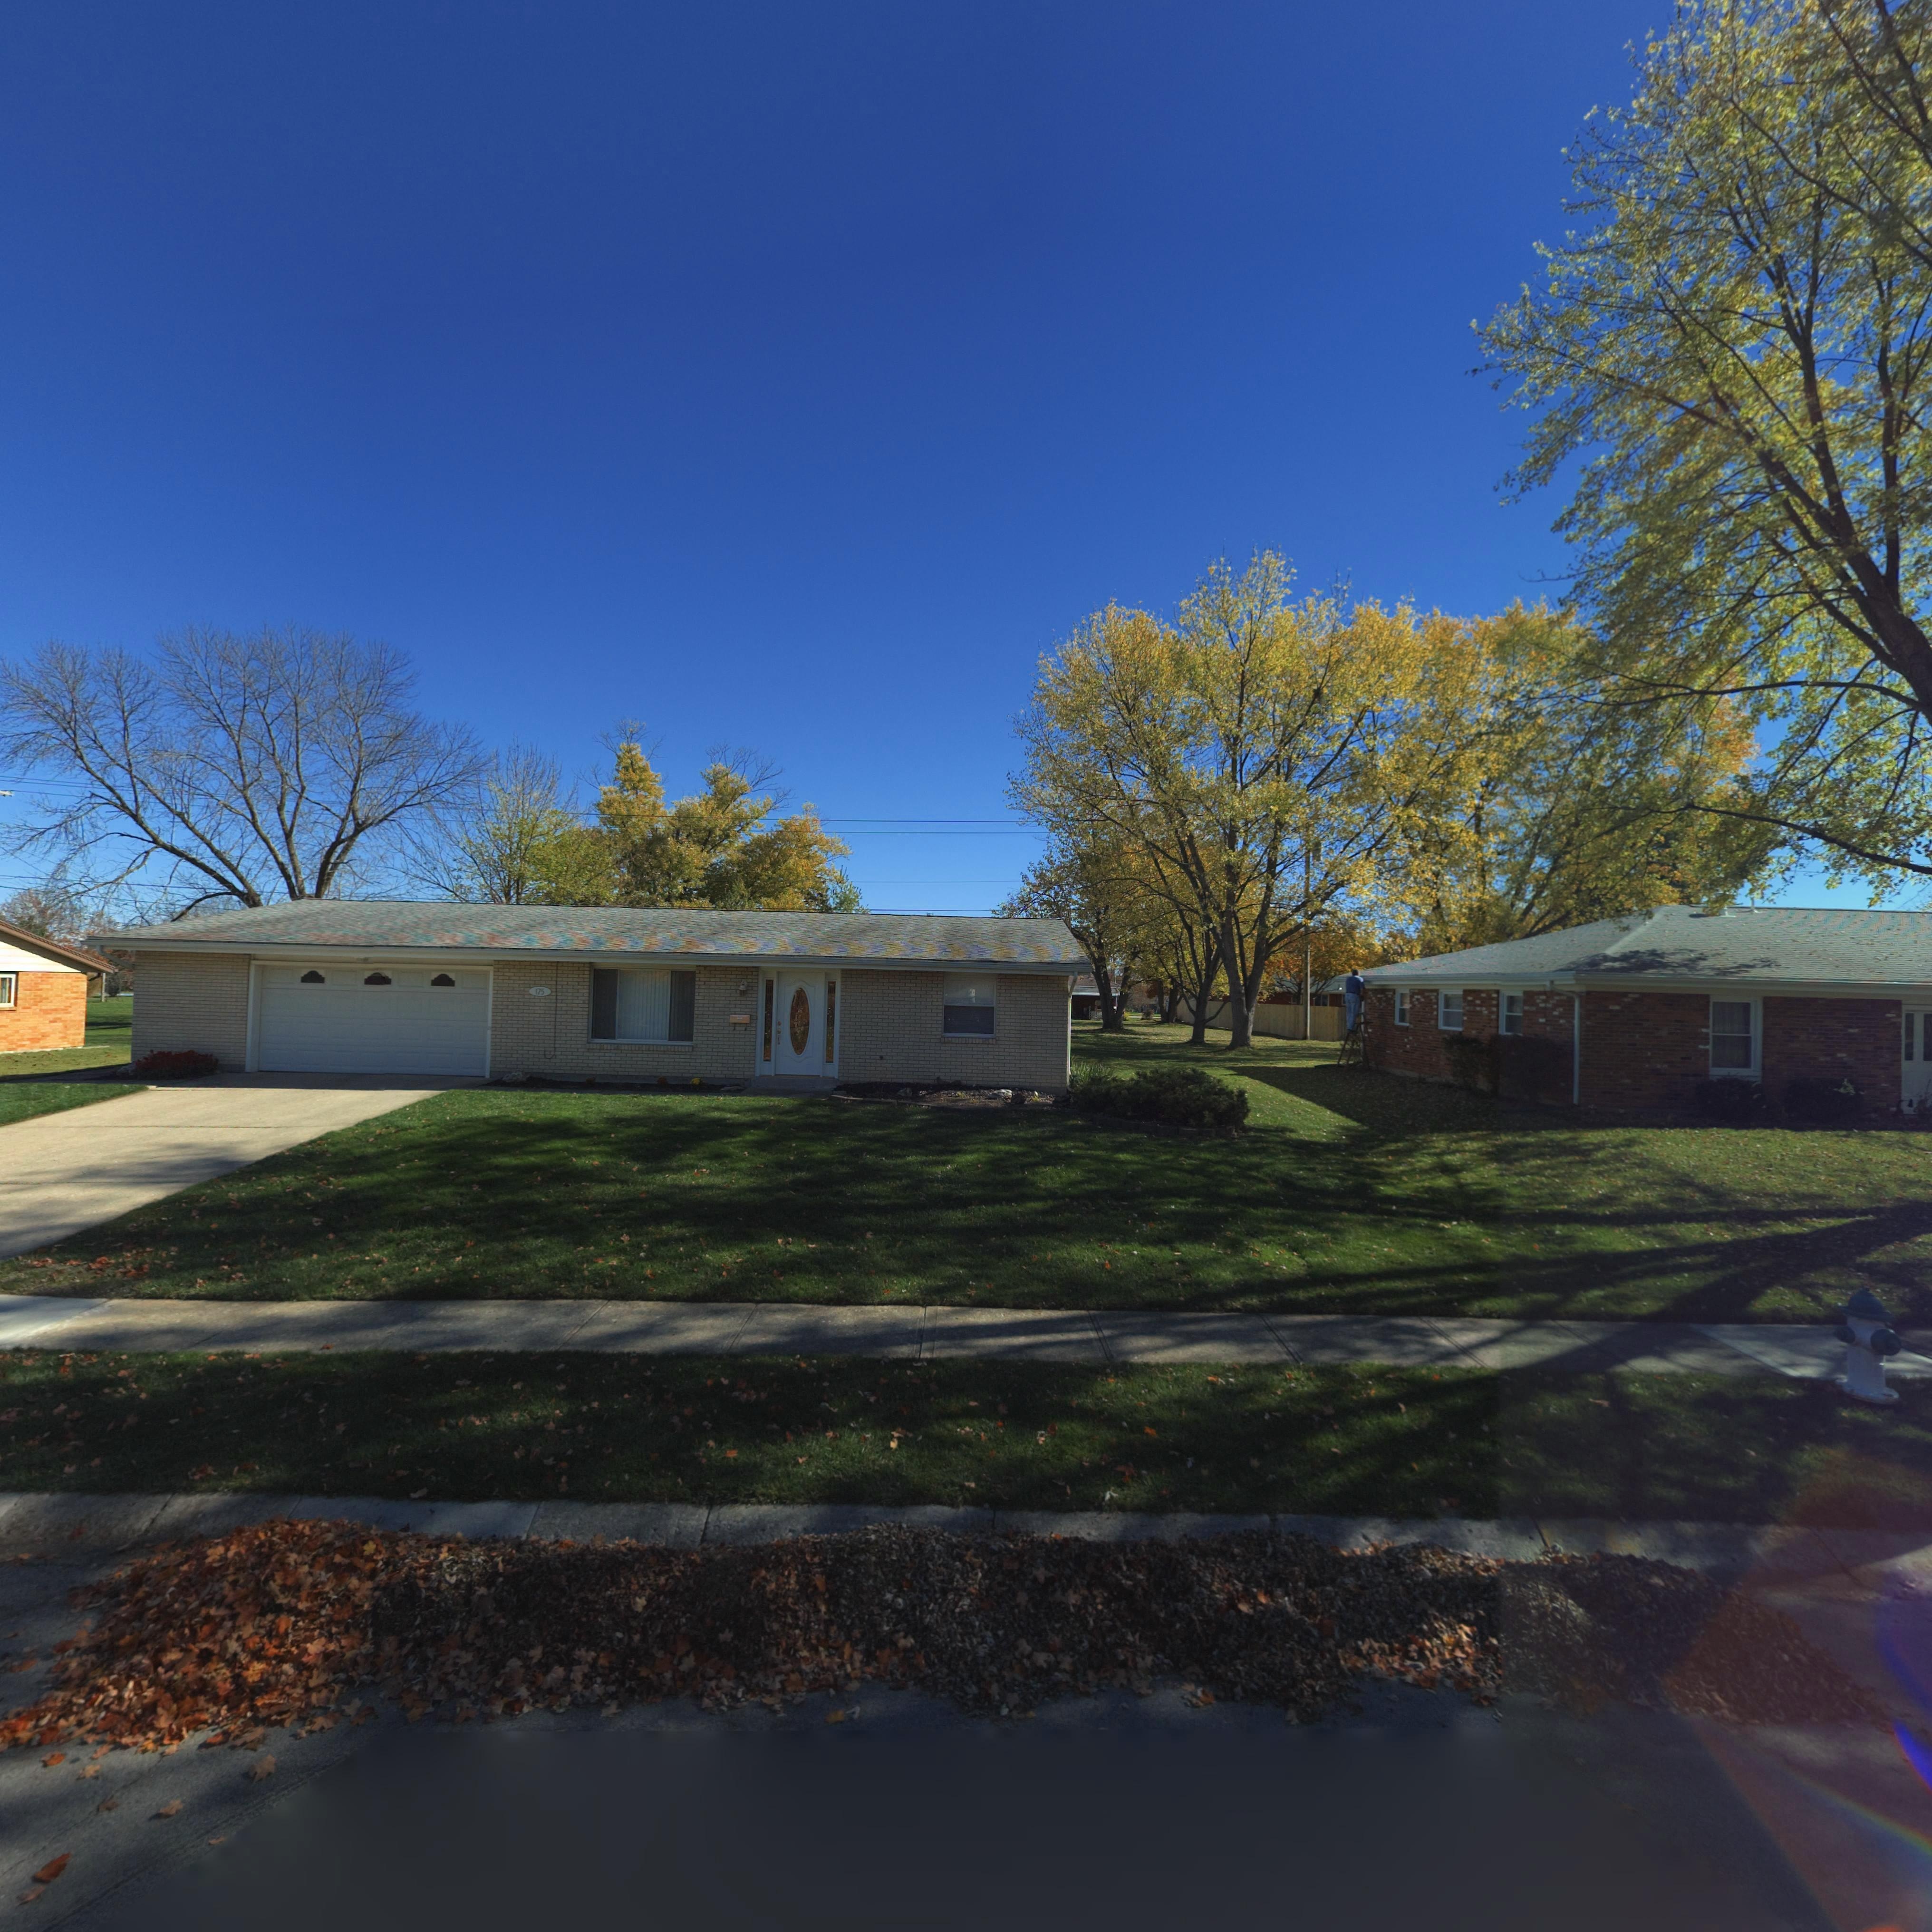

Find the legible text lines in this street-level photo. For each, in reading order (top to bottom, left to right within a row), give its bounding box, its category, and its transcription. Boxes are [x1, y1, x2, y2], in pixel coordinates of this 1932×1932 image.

[534, 987, 545, 995] StreetNumber: 175